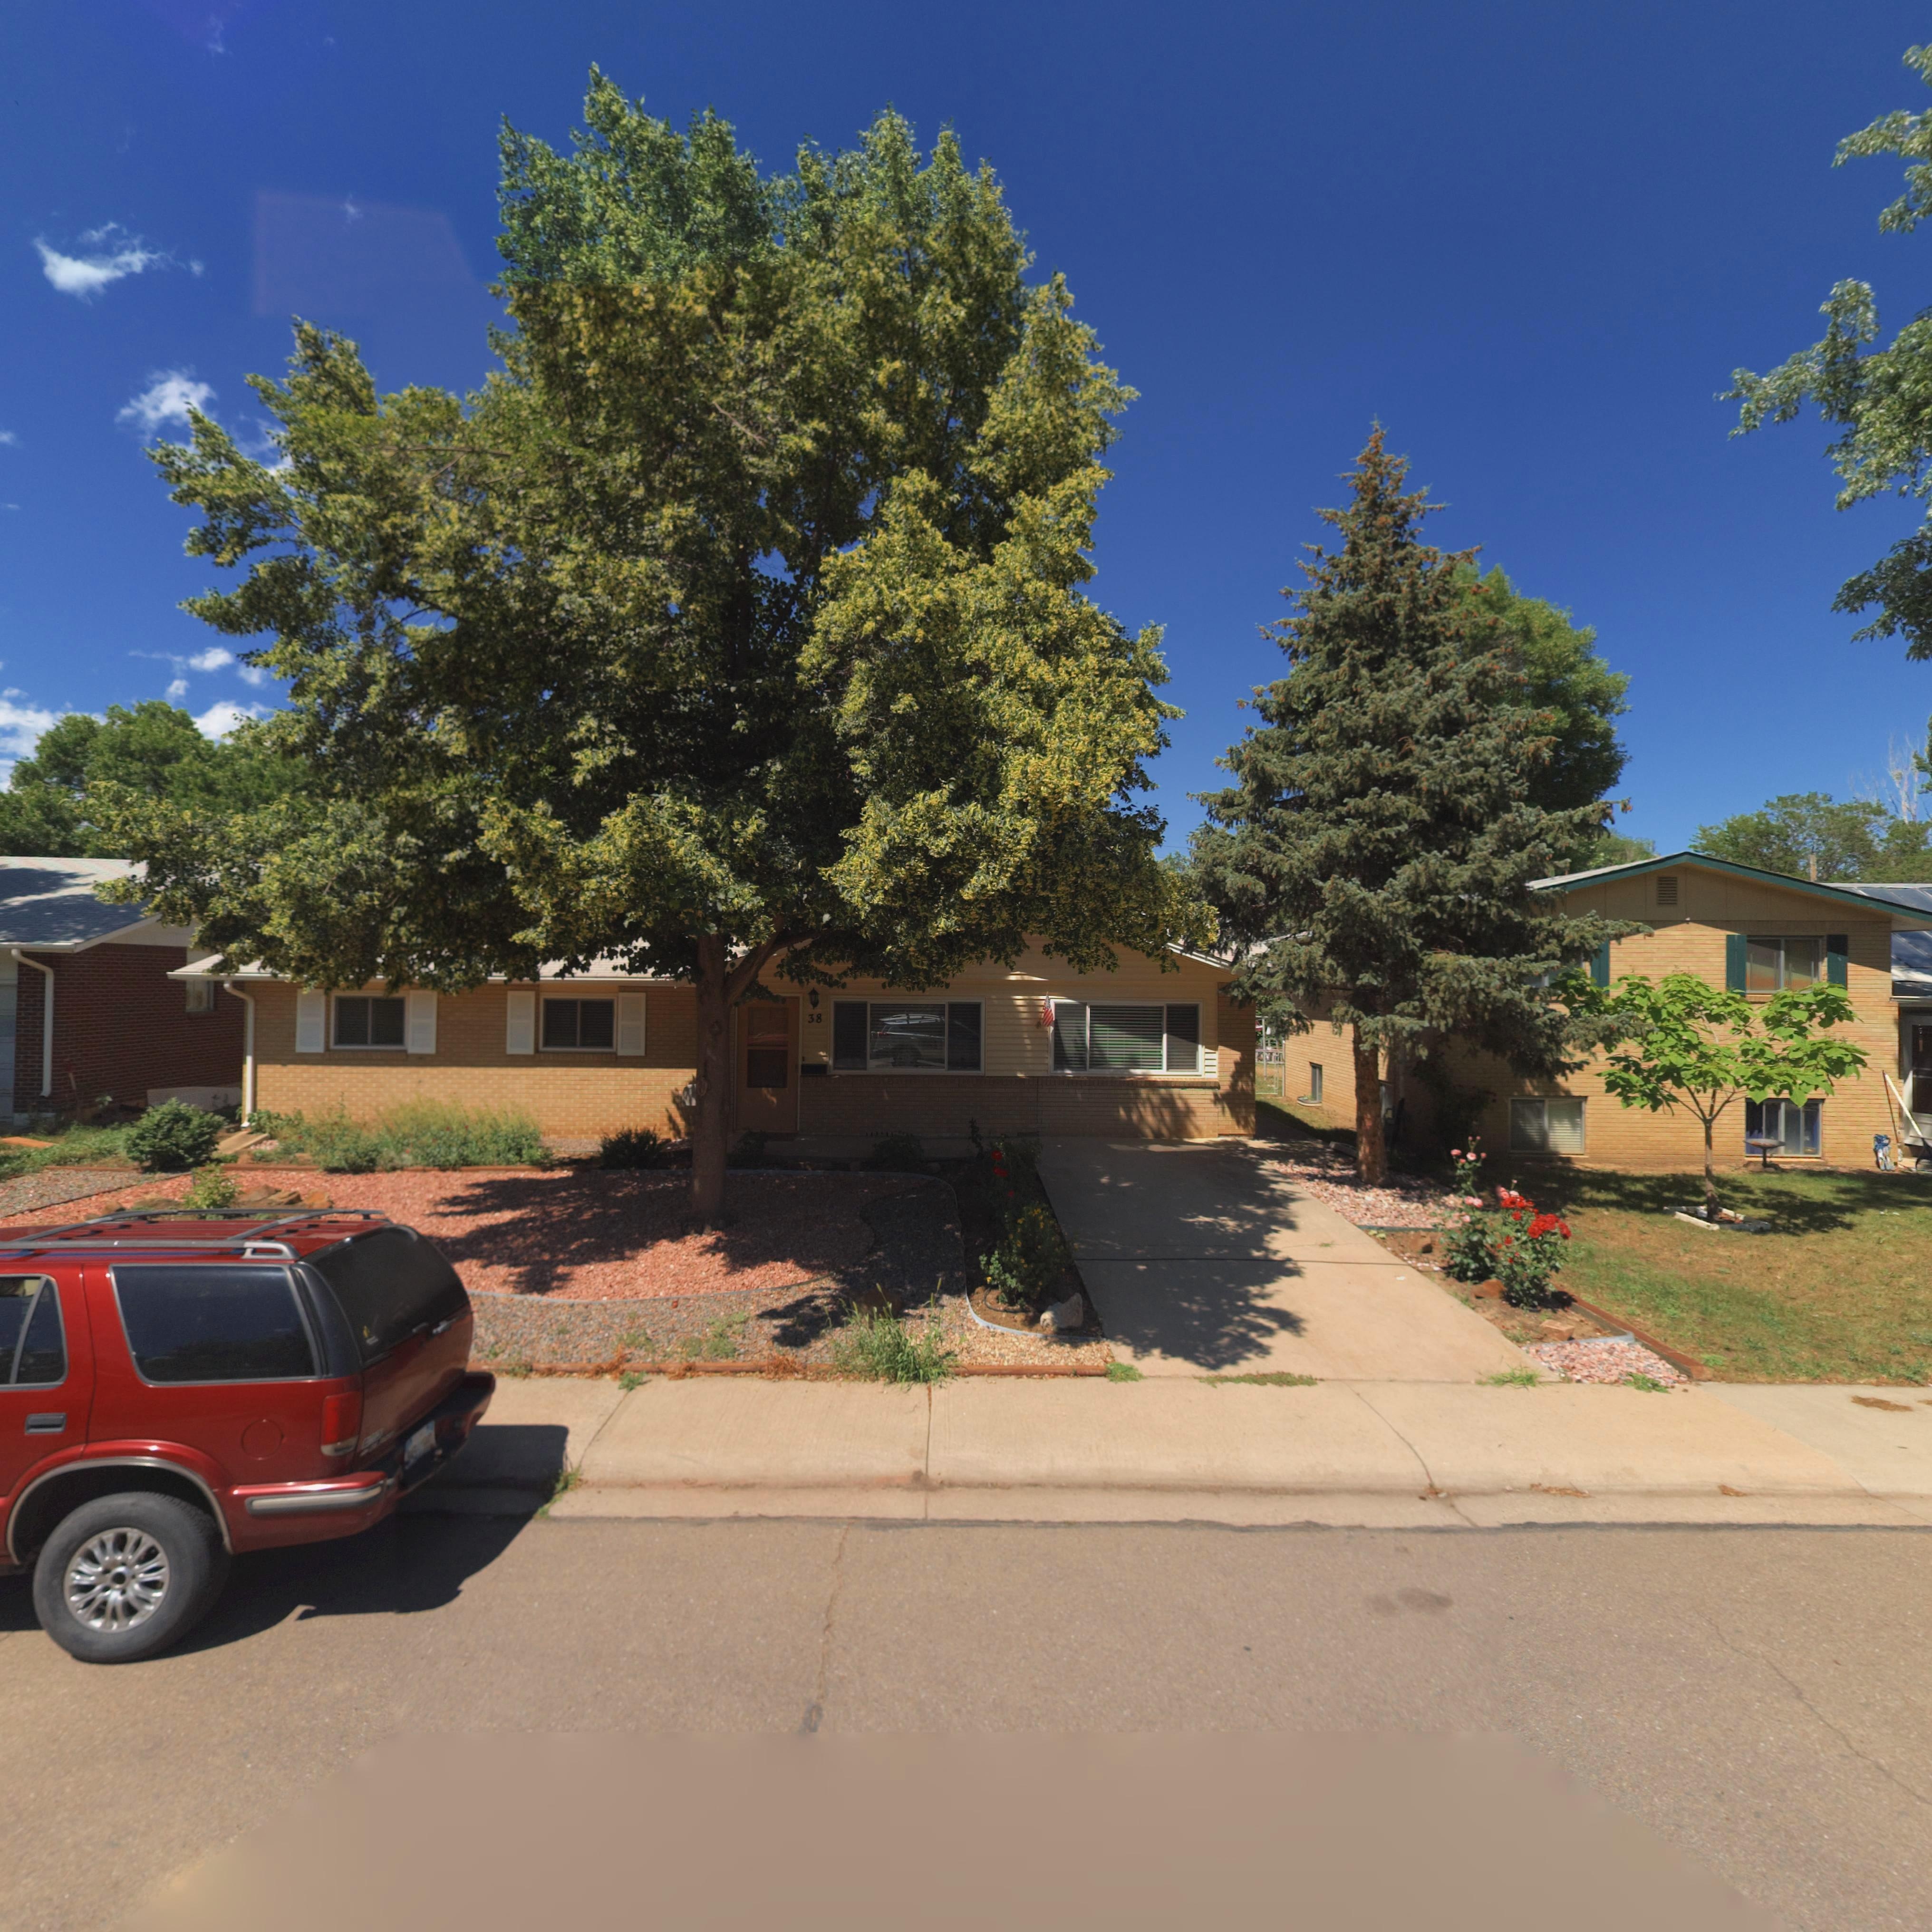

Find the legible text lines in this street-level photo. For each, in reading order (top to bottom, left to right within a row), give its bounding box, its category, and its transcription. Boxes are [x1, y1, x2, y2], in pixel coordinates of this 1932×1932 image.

[807, 1013, 822, 1024] StreetNumber: 38